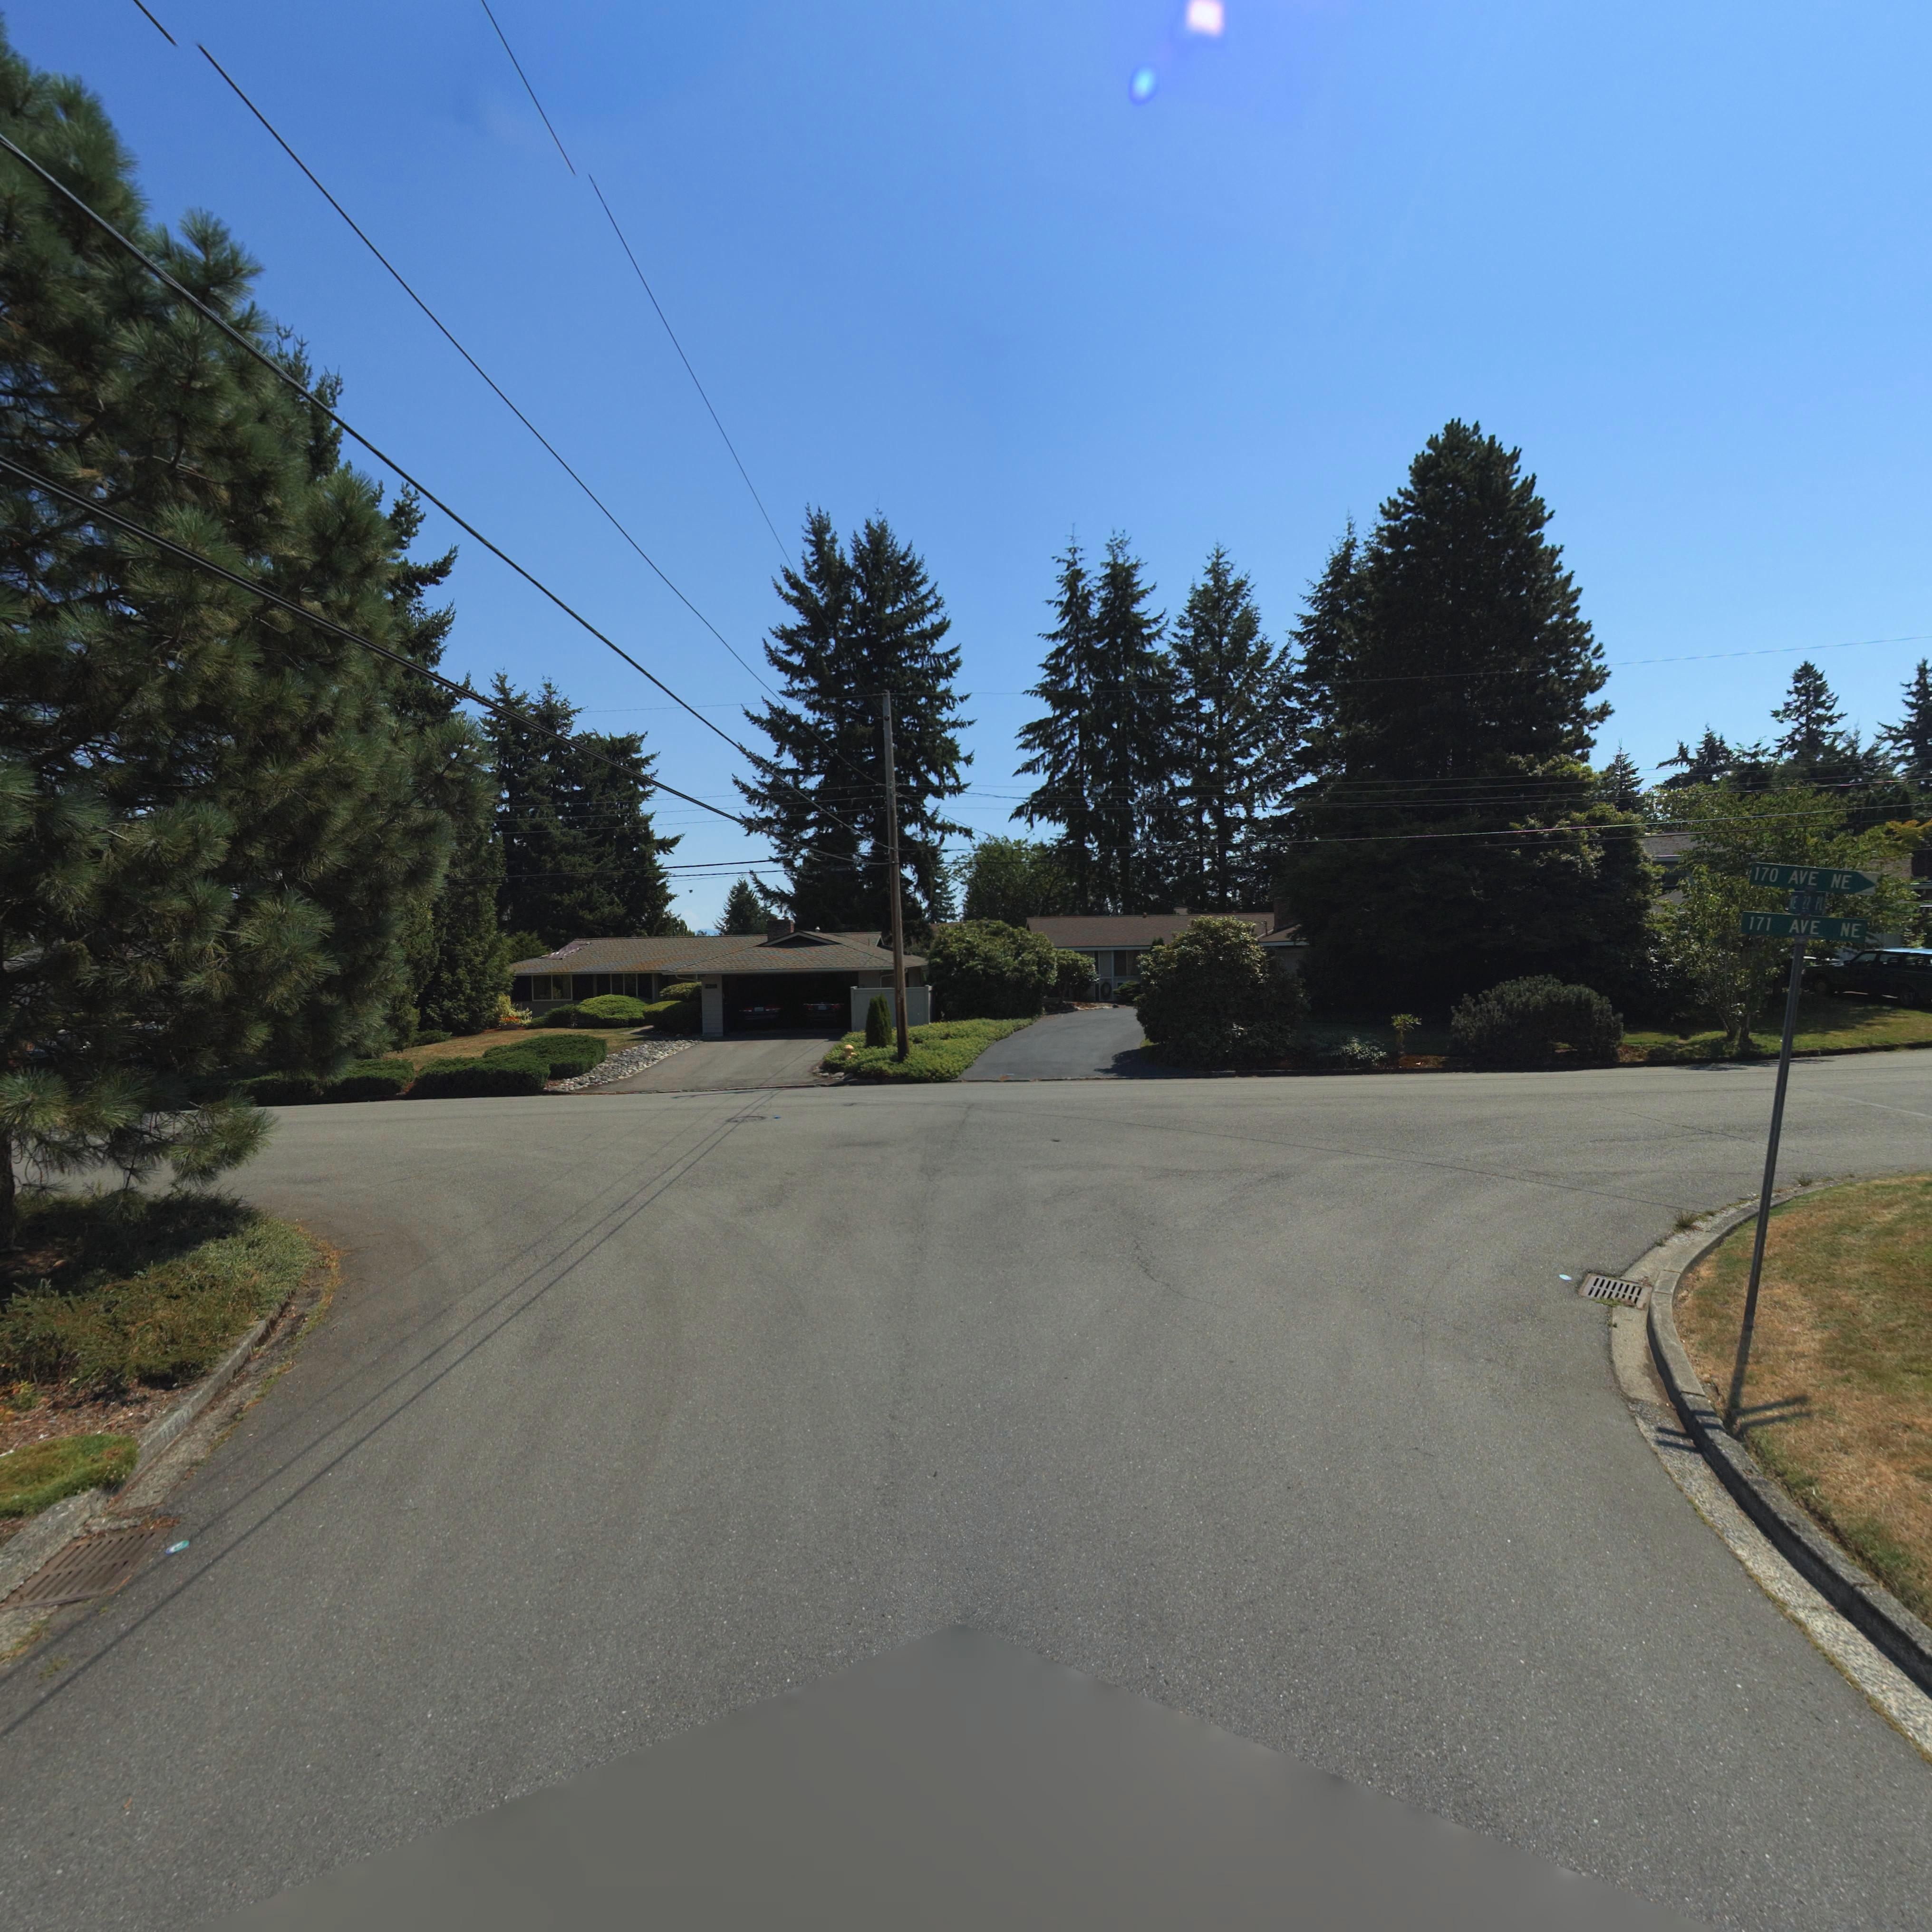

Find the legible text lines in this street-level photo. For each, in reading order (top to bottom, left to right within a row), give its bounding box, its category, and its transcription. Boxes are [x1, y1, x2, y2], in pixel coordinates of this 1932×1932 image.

[1755, 867, 1852, 889] StreetName: 170 AVE NE
[1749, 915, 1861, 937] StreetName: 171 AVE NE